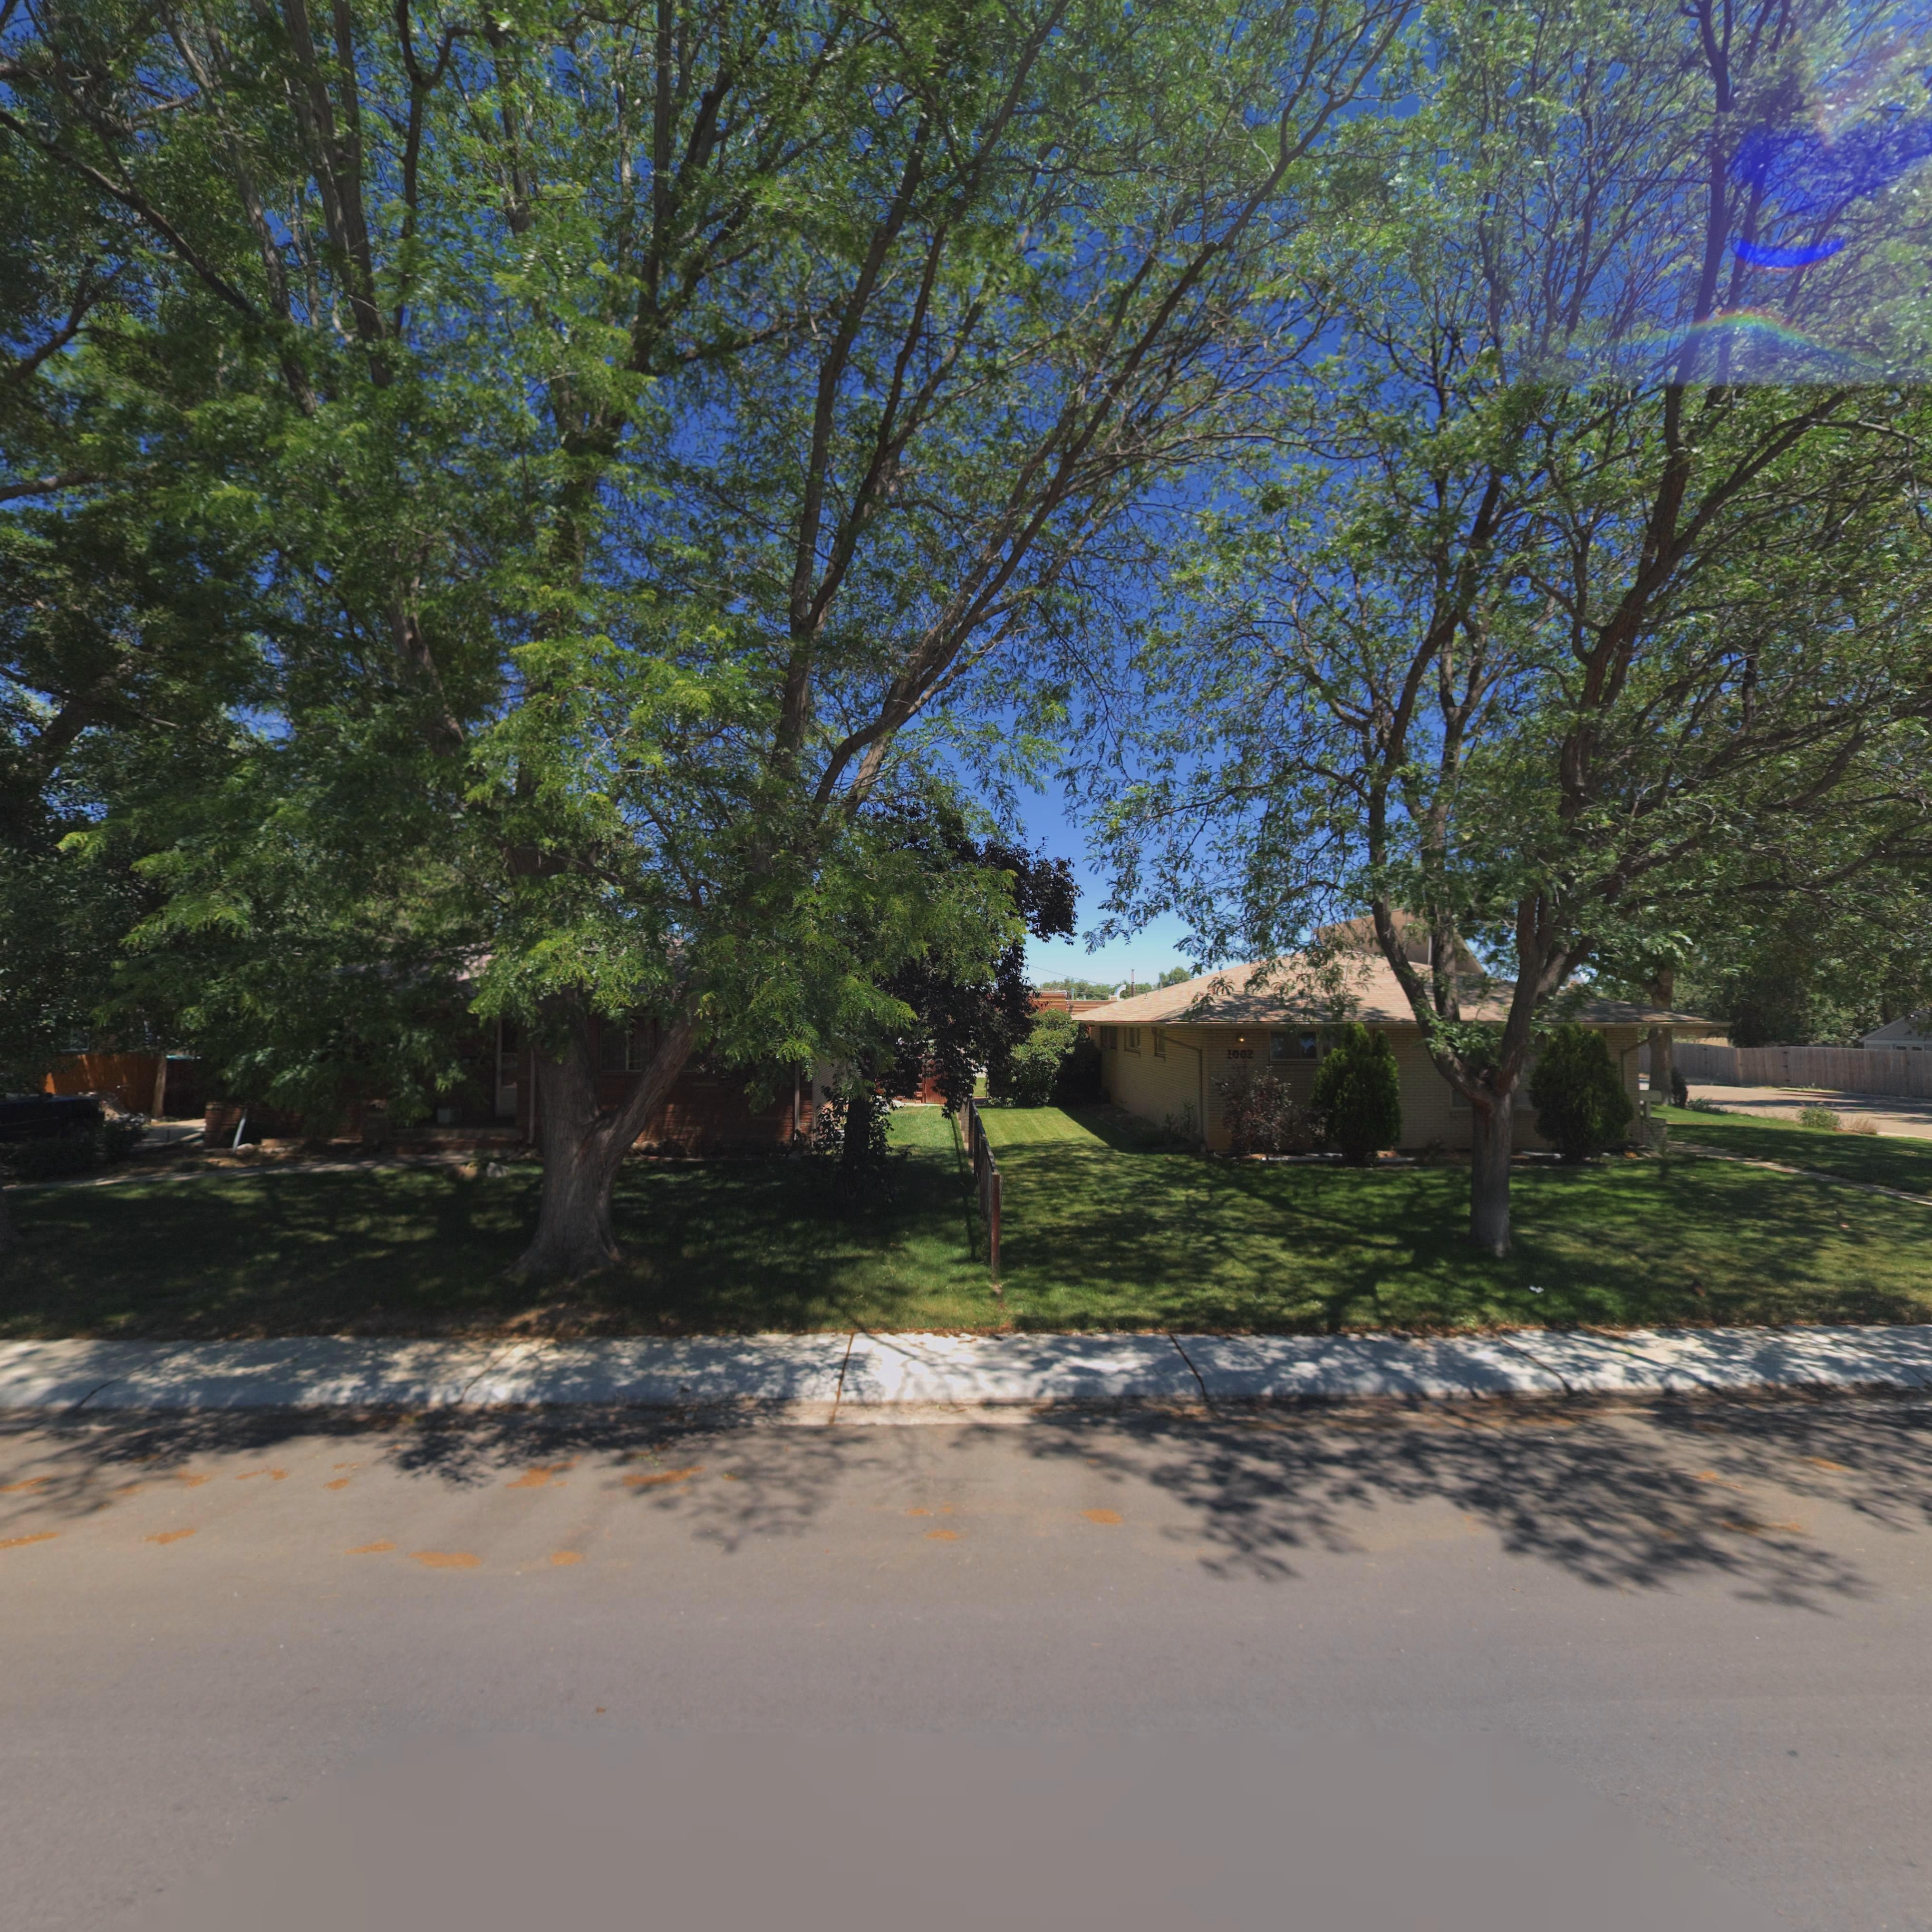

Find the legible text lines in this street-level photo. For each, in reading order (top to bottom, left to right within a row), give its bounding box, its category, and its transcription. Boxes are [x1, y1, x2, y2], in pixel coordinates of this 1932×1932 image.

[1227, 1048, 1254, 1060] StreetNumber: 1002